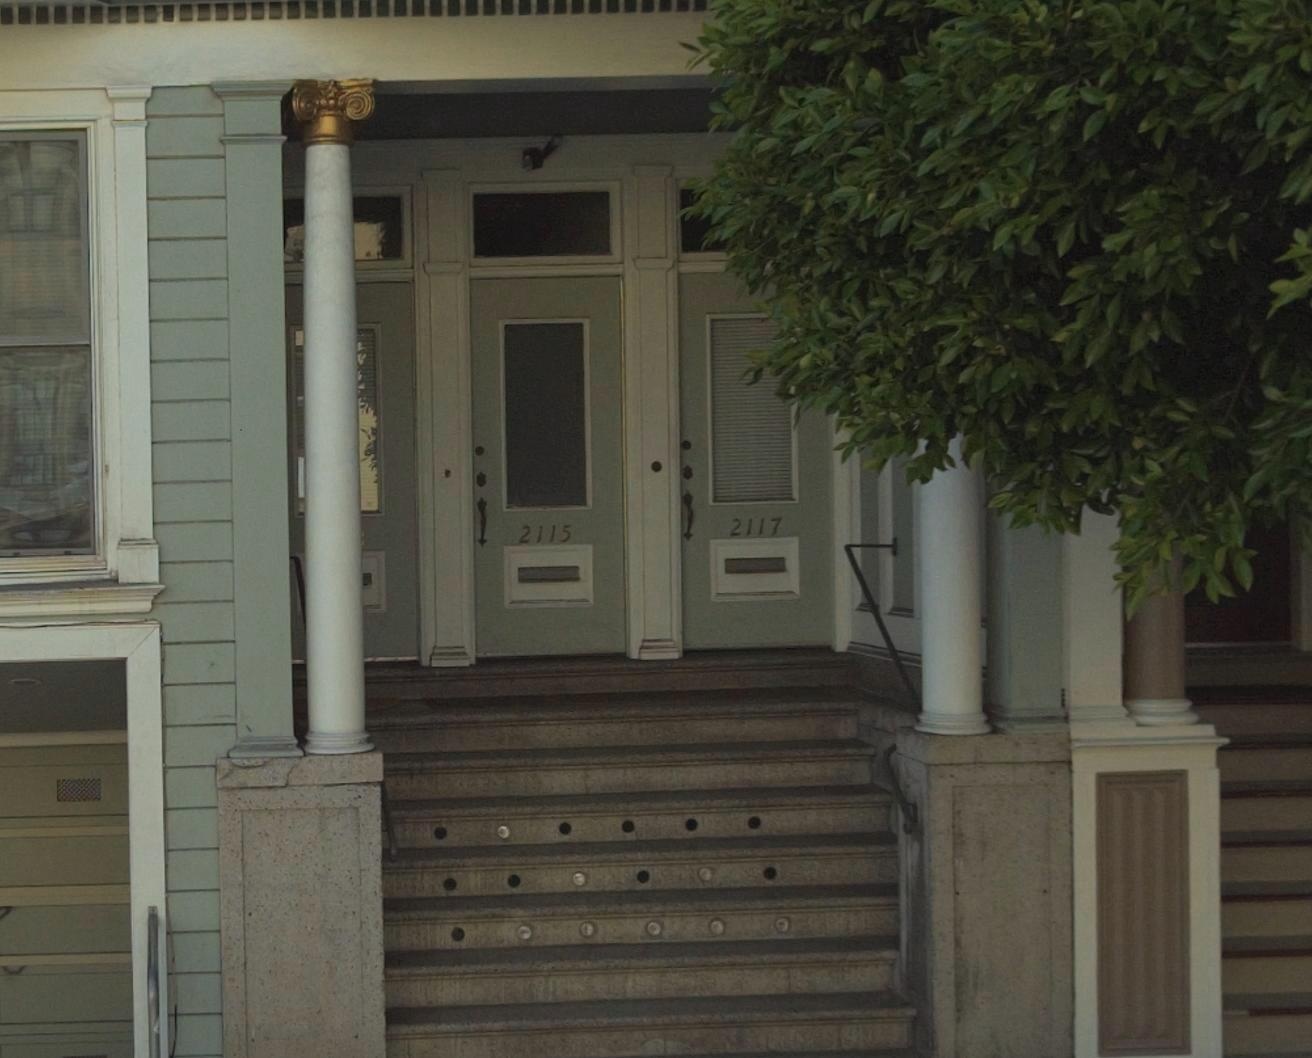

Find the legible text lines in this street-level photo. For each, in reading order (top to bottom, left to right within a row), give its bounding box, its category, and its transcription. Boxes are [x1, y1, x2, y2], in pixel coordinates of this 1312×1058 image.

[515, 521, 574, 546] StreetNumber: 2115
[729, 514, 785, 539] StreetNumber: 2117